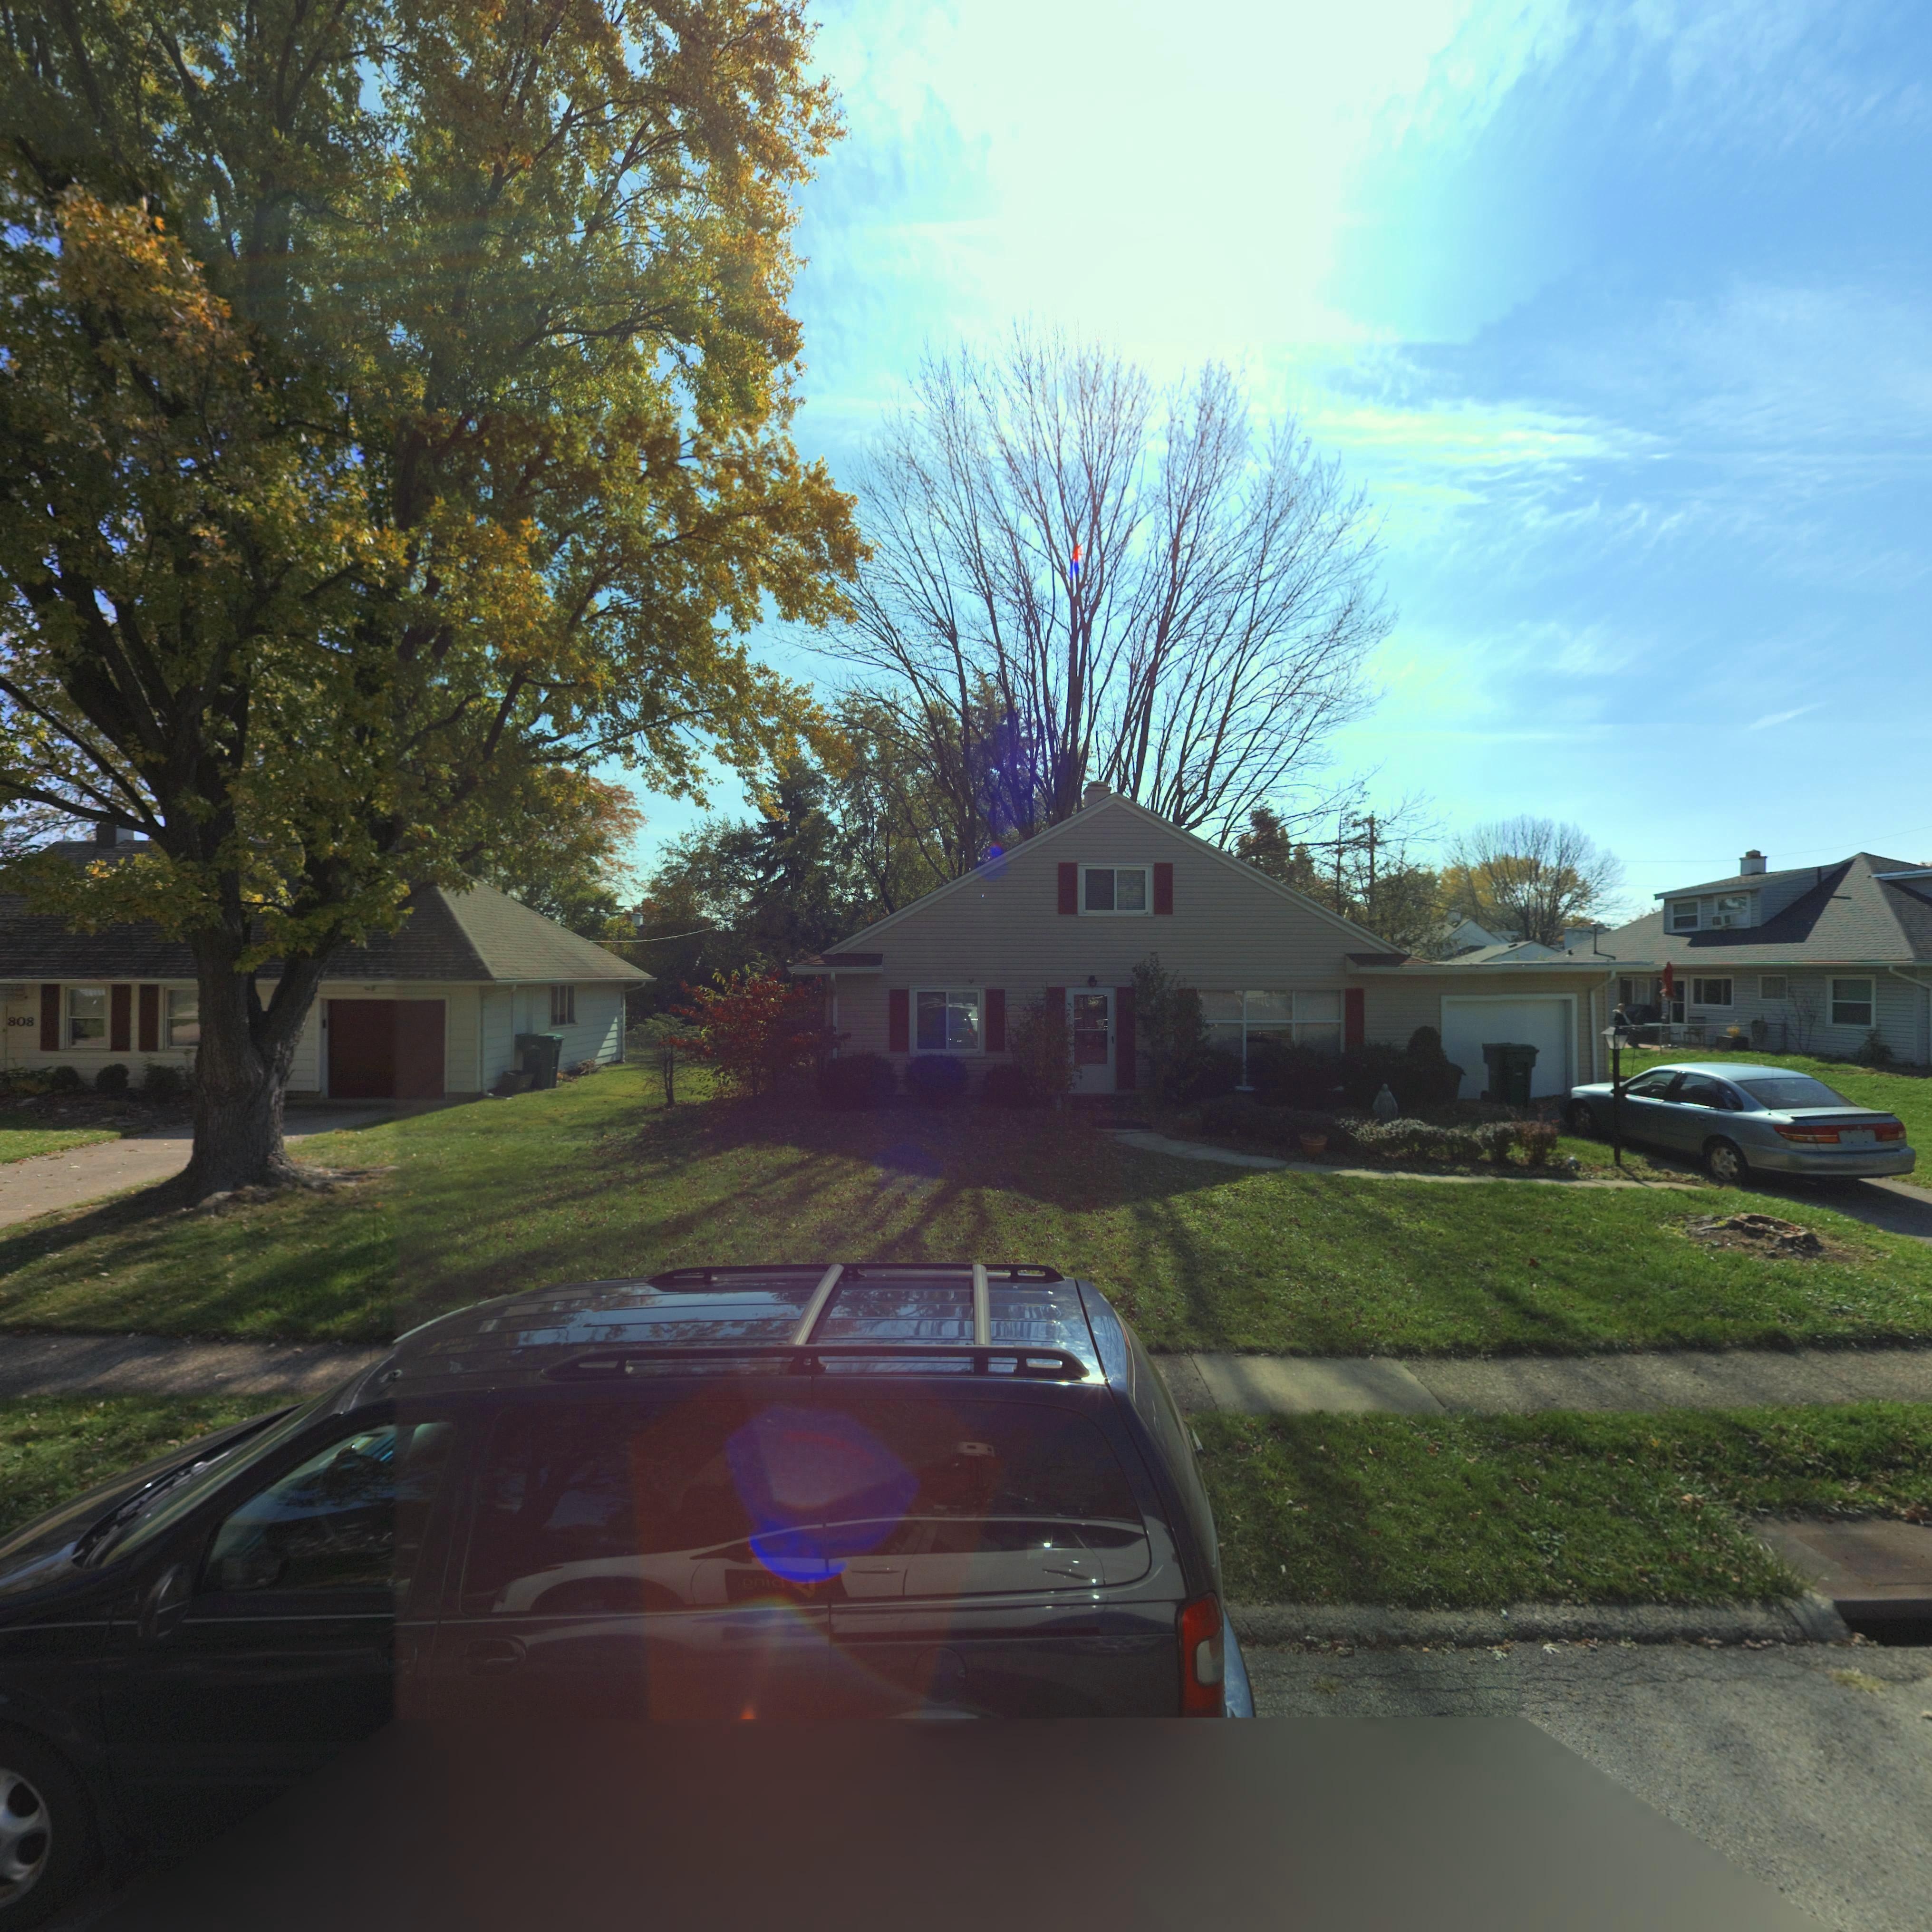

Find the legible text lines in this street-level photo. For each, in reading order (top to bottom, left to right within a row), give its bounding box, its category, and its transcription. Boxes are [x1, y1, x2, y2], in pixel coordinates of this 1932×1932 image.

[7, 1016, 35, 1027] StreetNumber: 808